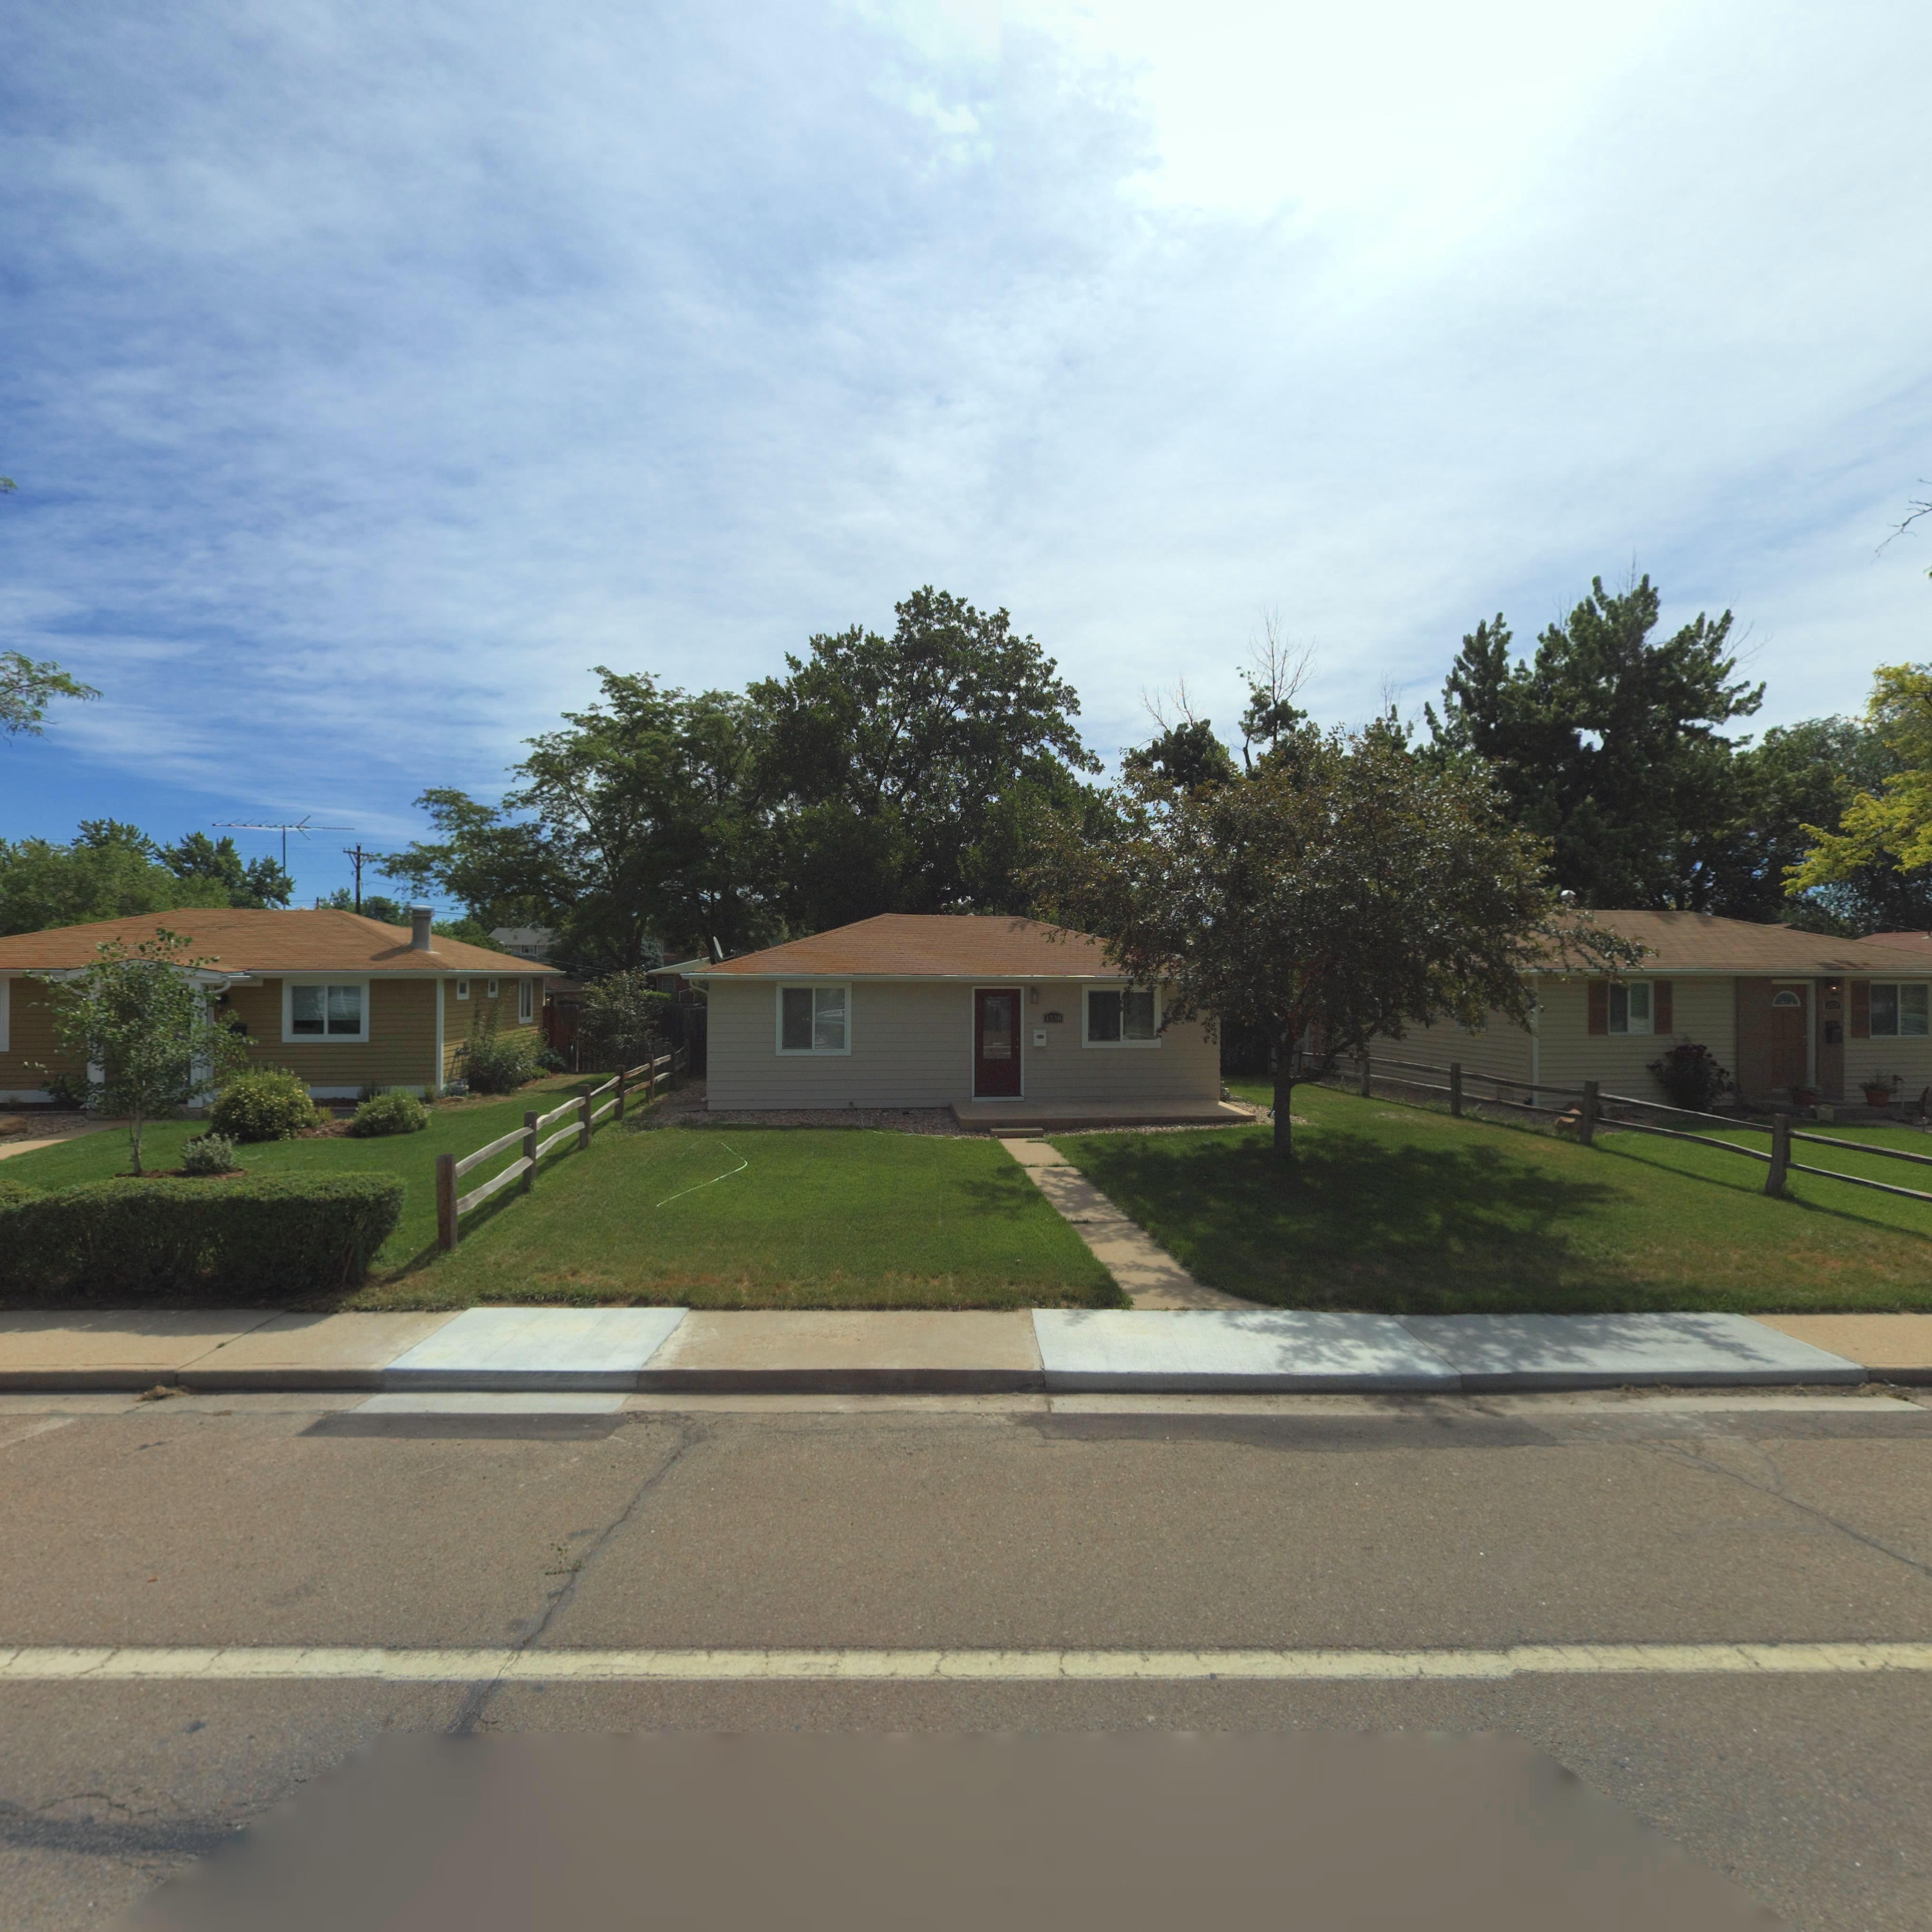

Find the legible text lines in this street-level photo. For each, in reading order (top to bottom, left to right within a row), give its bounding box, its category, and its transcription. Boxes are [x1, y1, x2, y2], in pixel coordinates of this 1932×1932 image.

[1045, 1014, 1062, 1021] StreetNumber: 1338